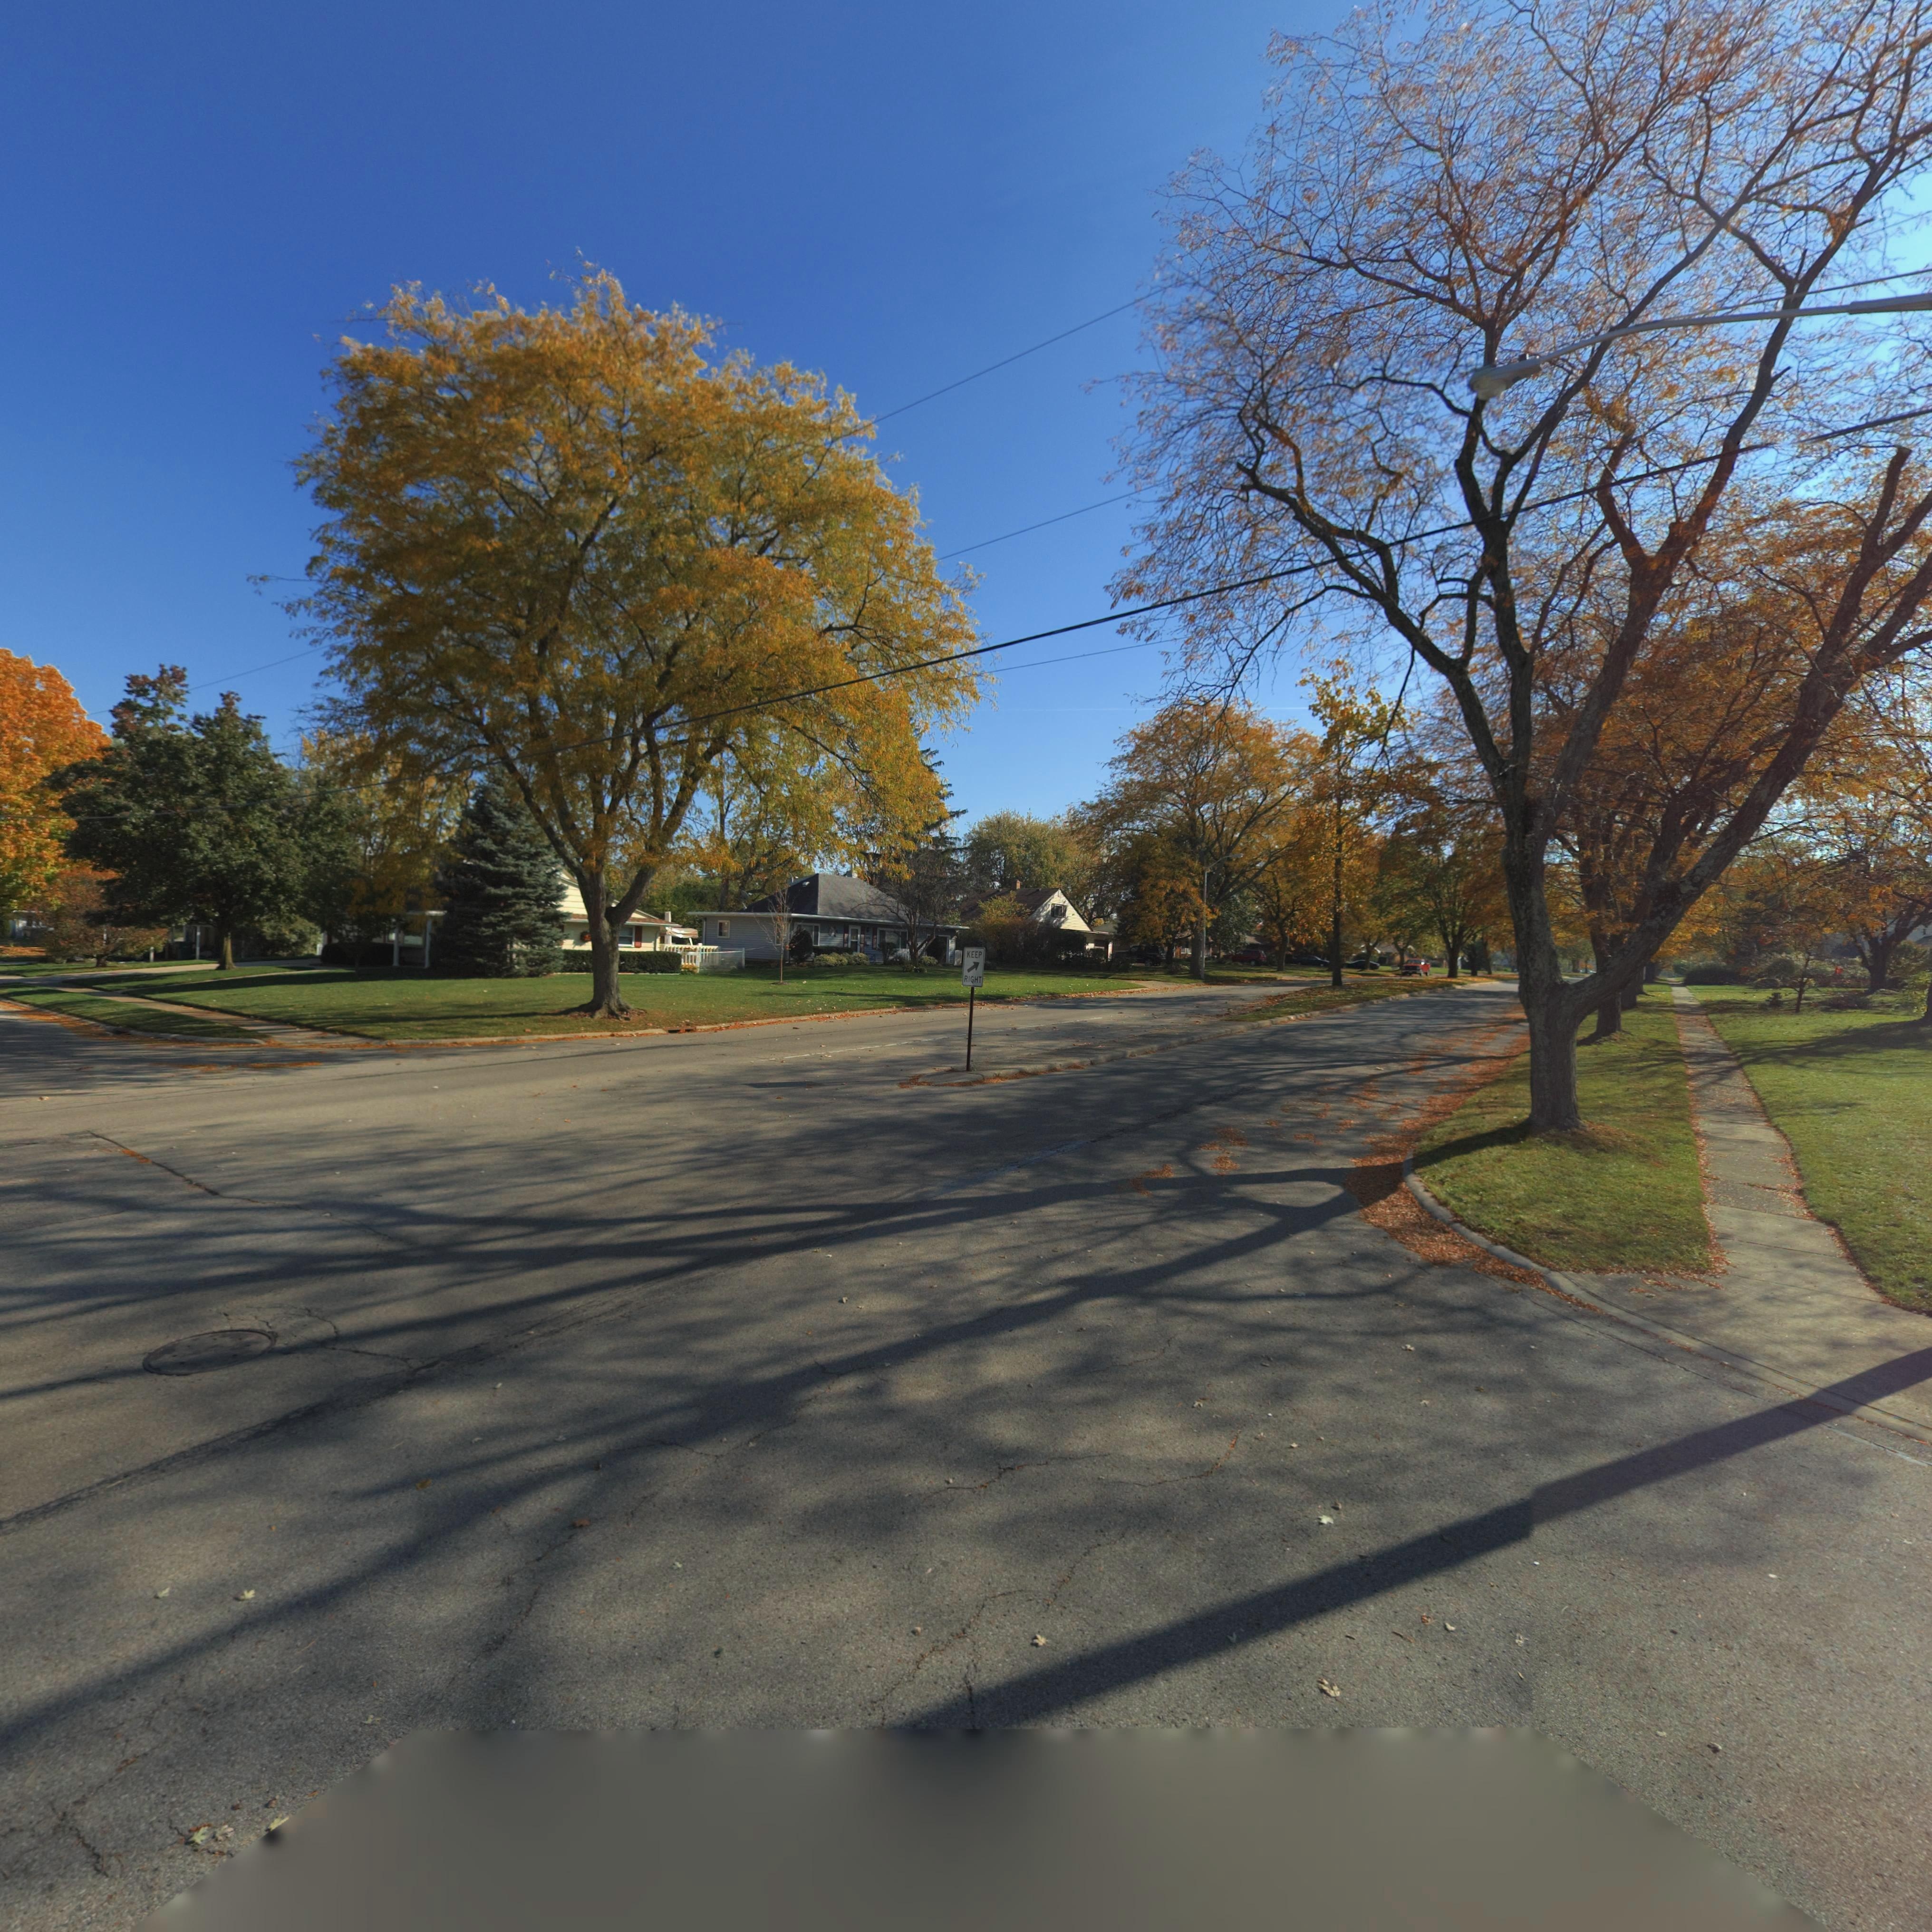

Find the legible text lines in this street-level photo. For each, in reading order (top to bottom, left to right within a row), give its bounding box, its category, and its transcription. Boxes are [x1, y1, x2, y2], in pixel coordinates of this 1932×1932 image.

[966, 949, 984, 959] None: KEEP
[963, 974, 983, 984] None: RIGHT